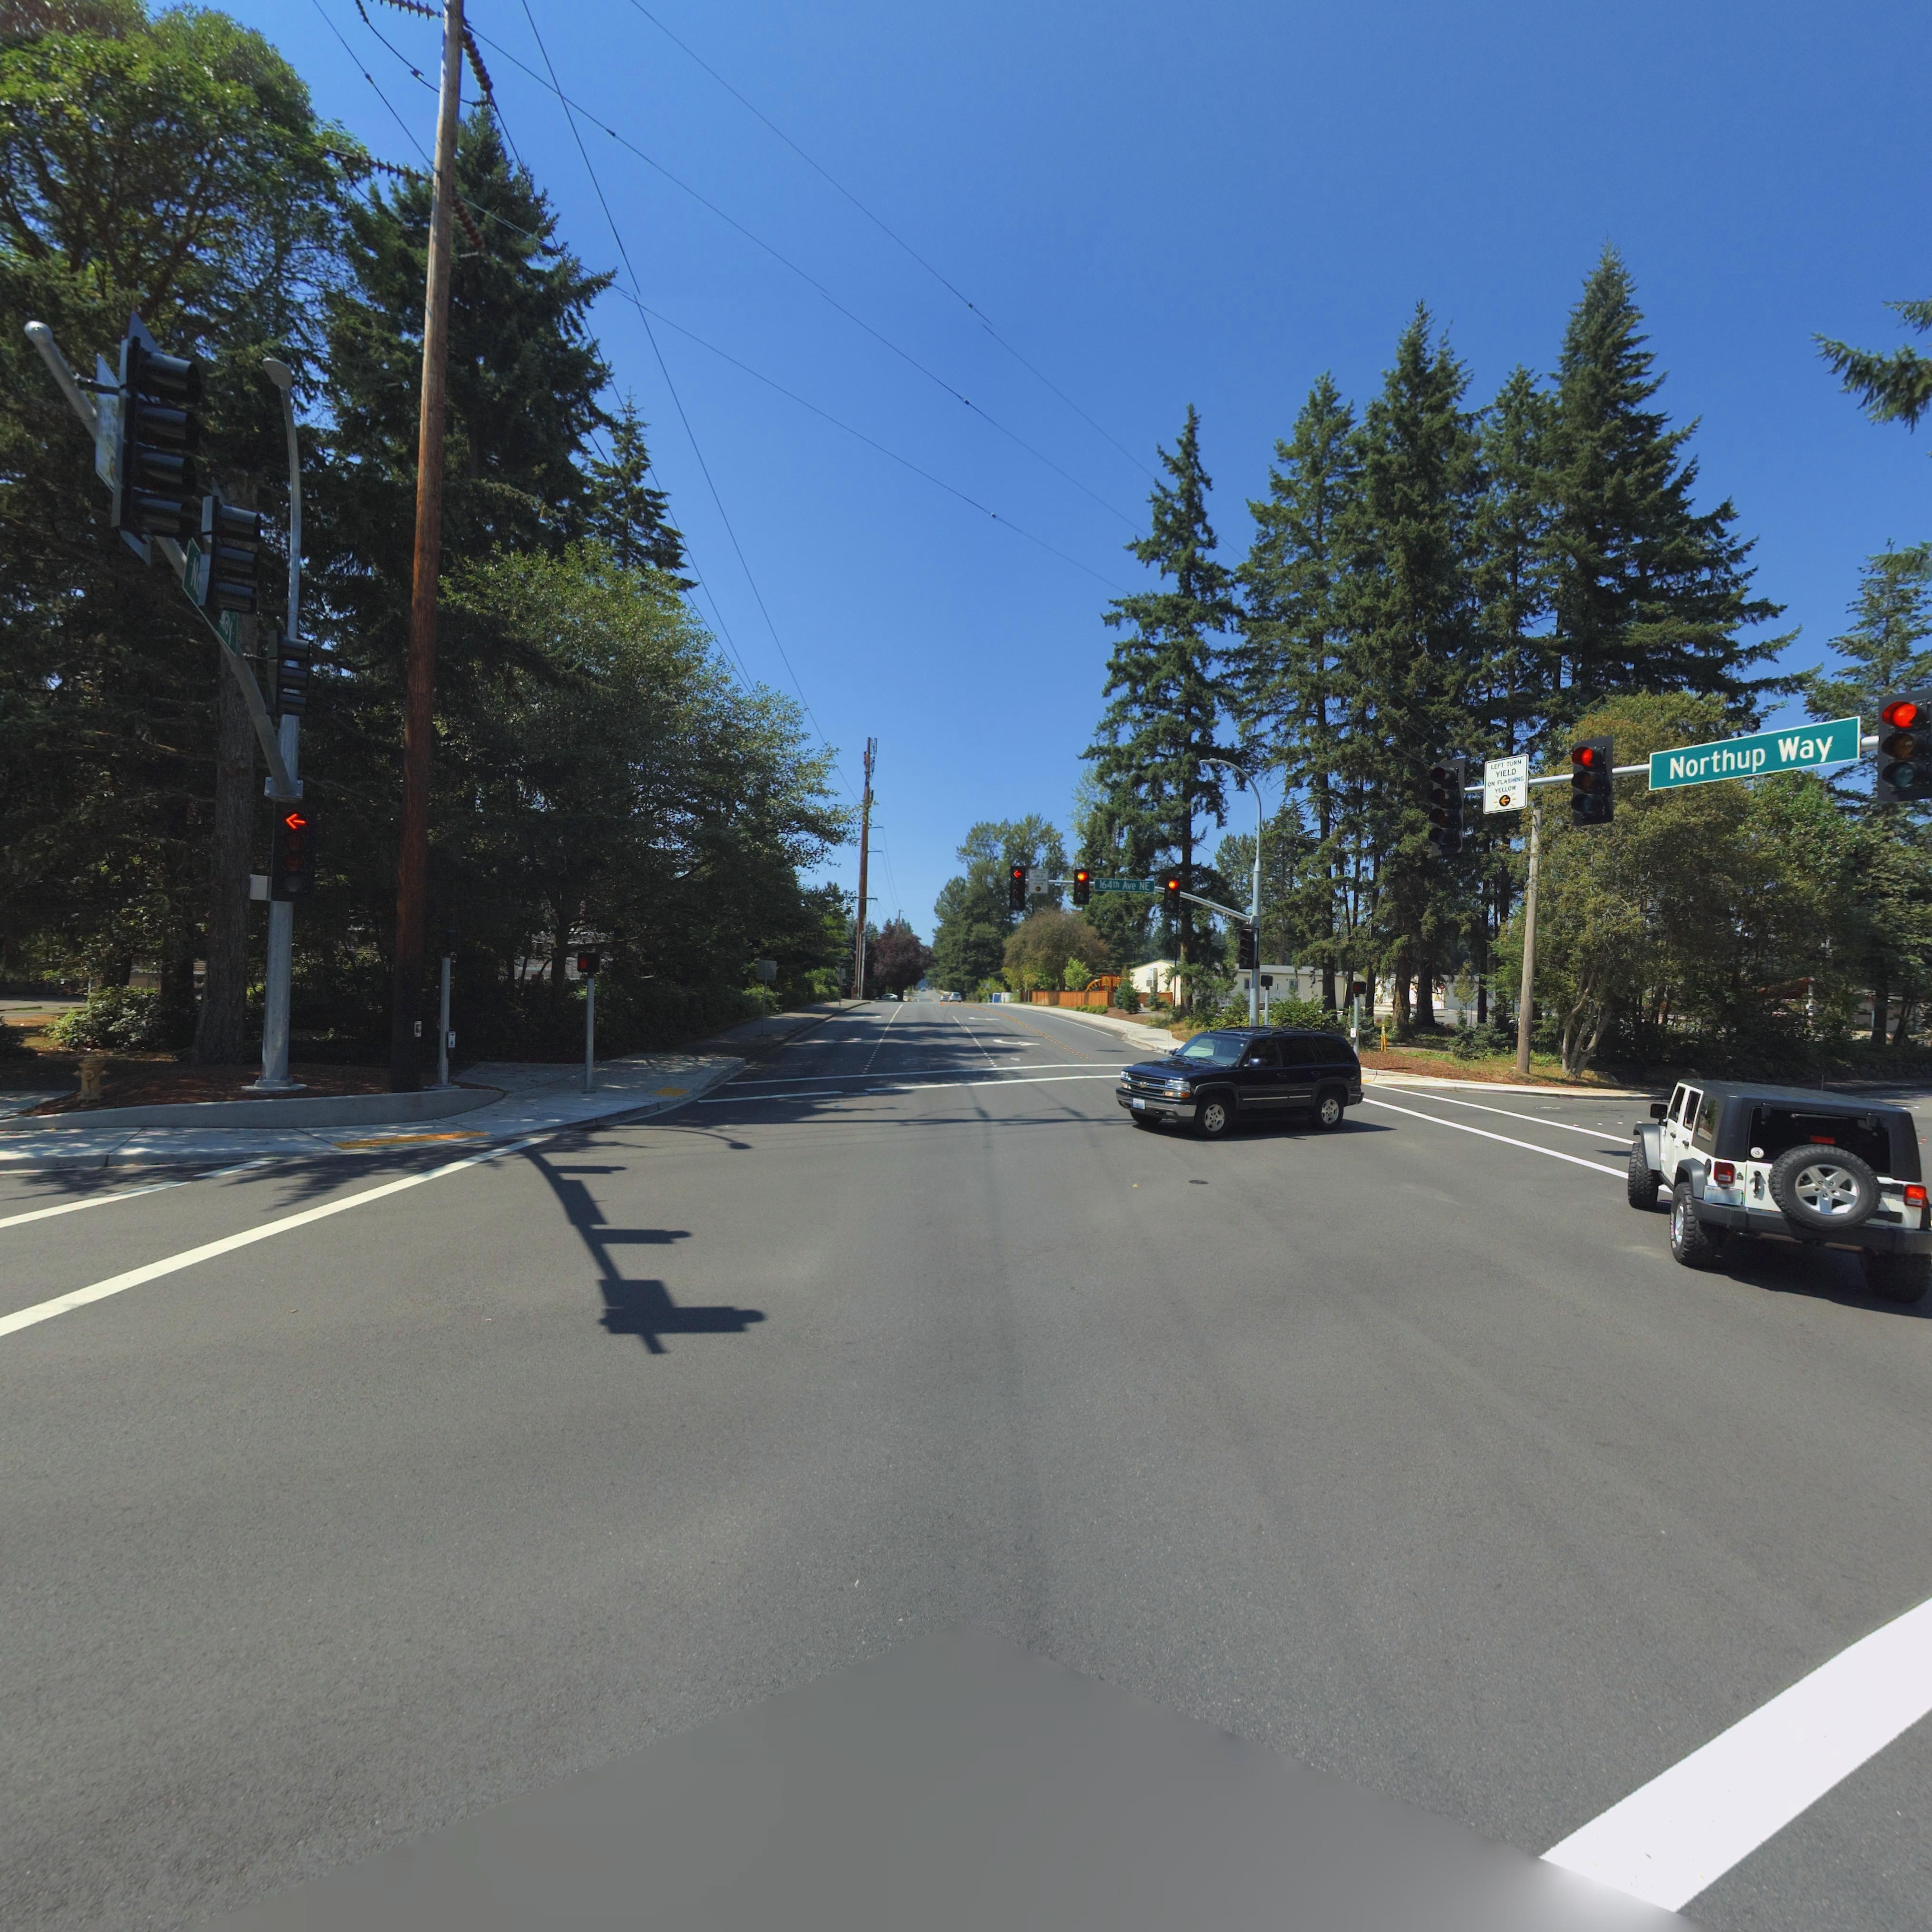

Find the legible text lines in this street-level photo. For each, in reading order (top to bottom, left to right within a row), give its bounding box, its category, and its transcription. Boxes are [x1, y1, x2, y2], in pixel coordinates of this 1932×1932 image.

[1668, 734, 1835, 780] StreetName: Northup Way
[1099, 879, 1150, 891] StreetName: 164th Ave NE